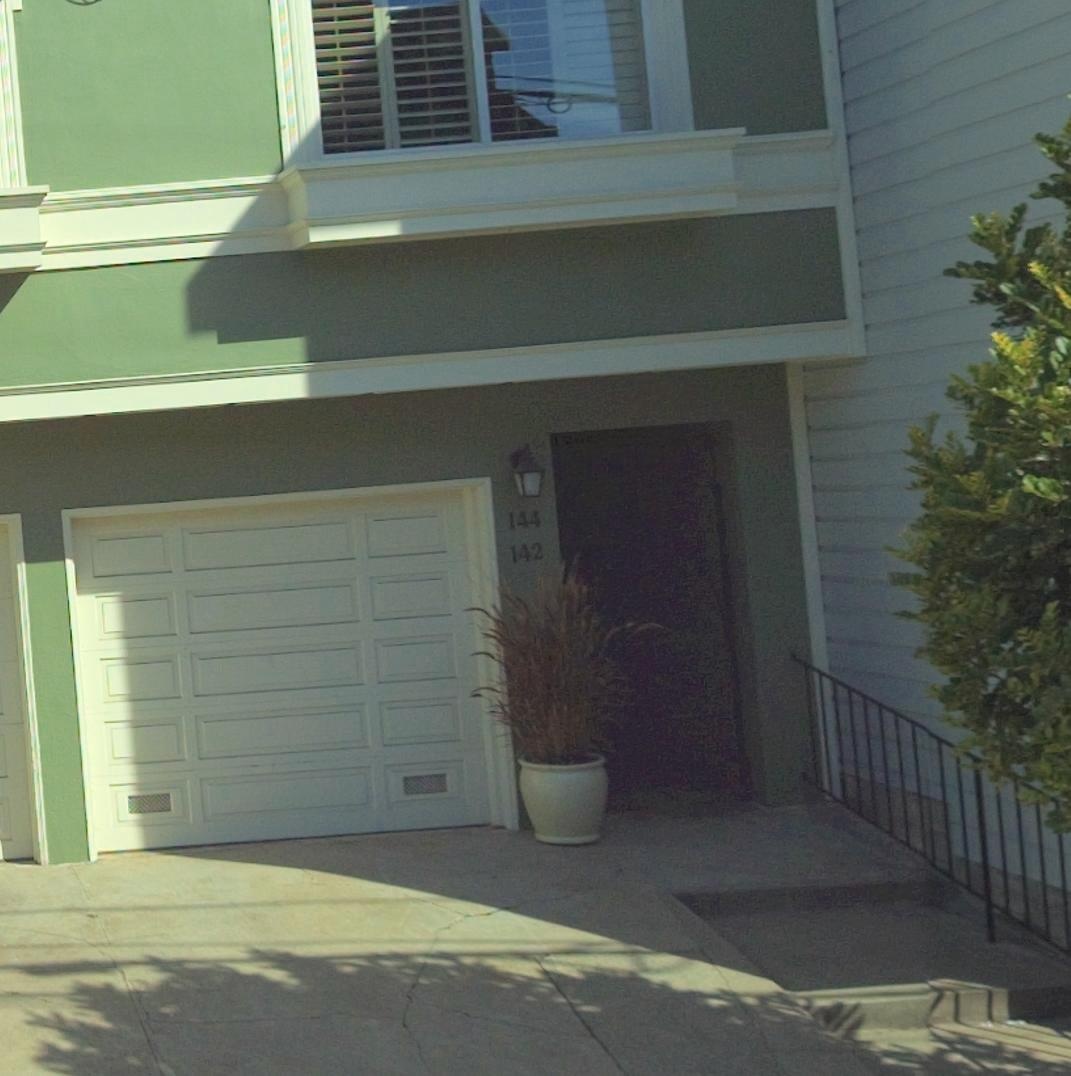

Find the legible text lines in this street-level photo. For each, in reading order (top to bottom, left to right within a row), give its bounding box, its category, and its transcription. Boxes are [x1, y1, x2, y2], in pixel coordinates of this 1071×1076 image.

[505, 505, 544, 533] StreetNumber: 144
[508, 540, 545, 566] StreetNumber: 142